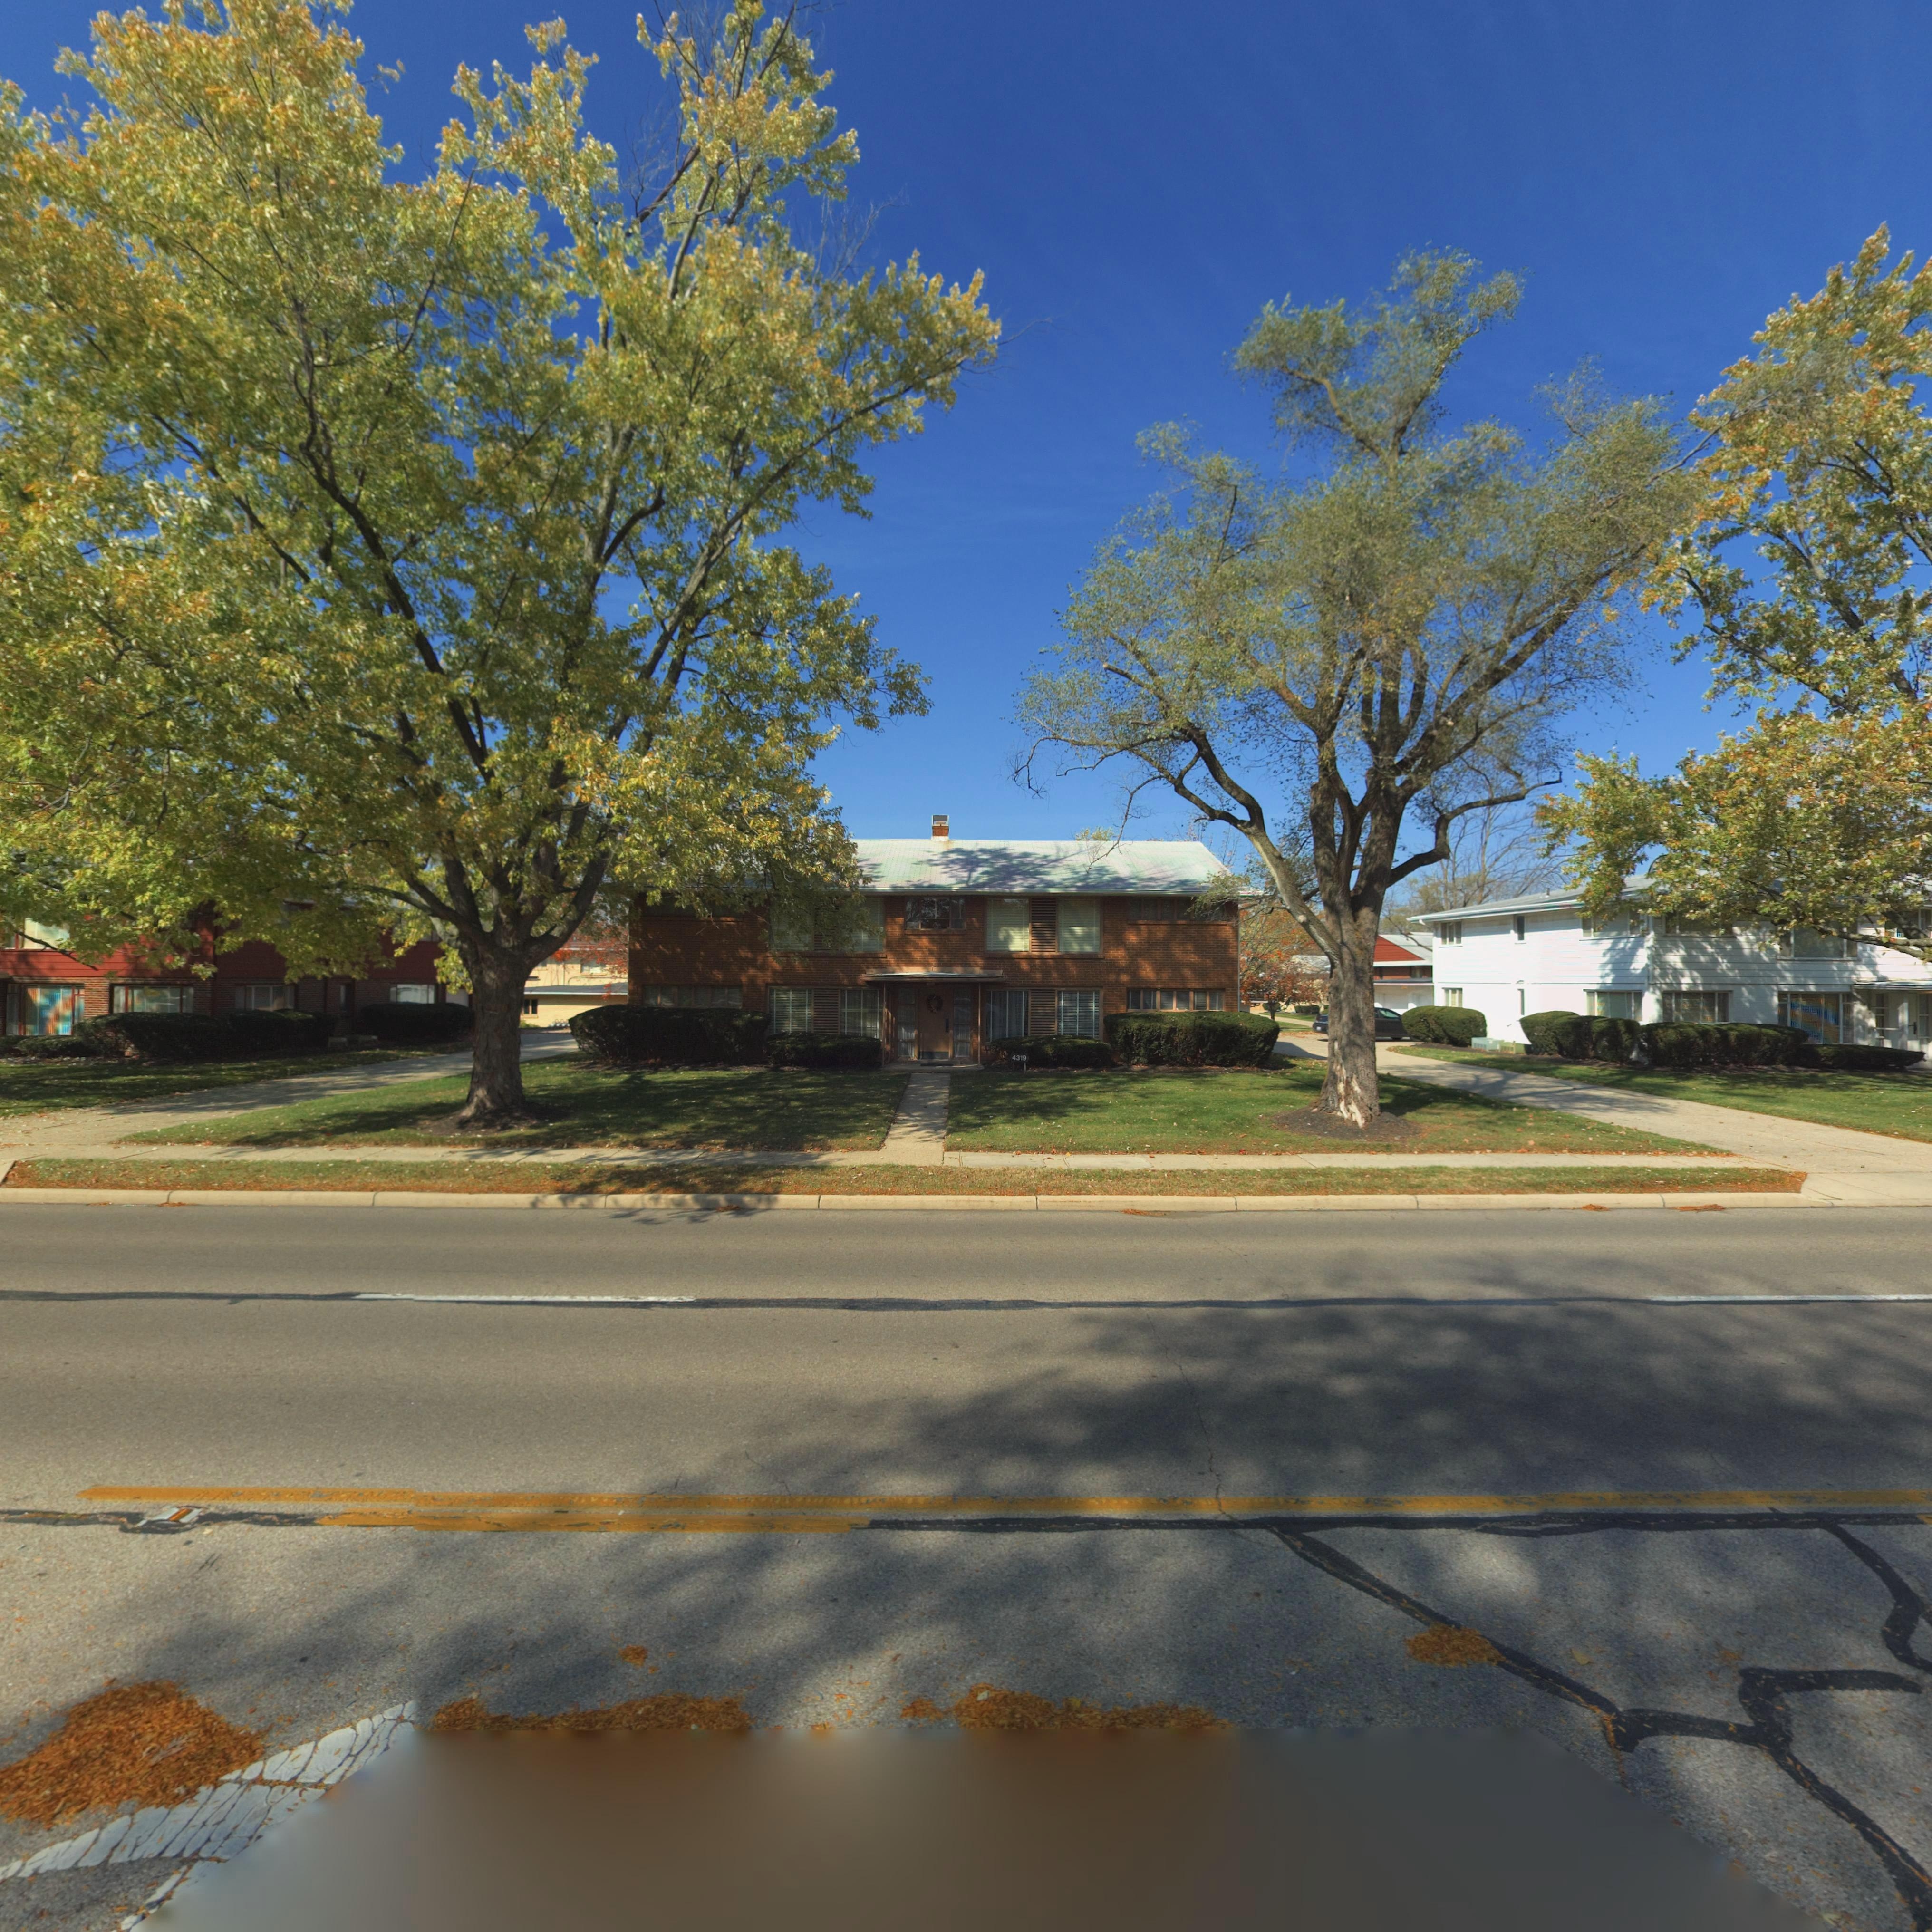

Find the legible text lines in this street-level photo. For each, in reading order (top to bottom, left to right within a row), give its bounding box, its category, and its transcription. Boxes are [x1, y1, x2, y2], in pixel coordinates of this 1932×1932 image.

[1011, 1053, 1028, 1062] StreetNumber: 4319